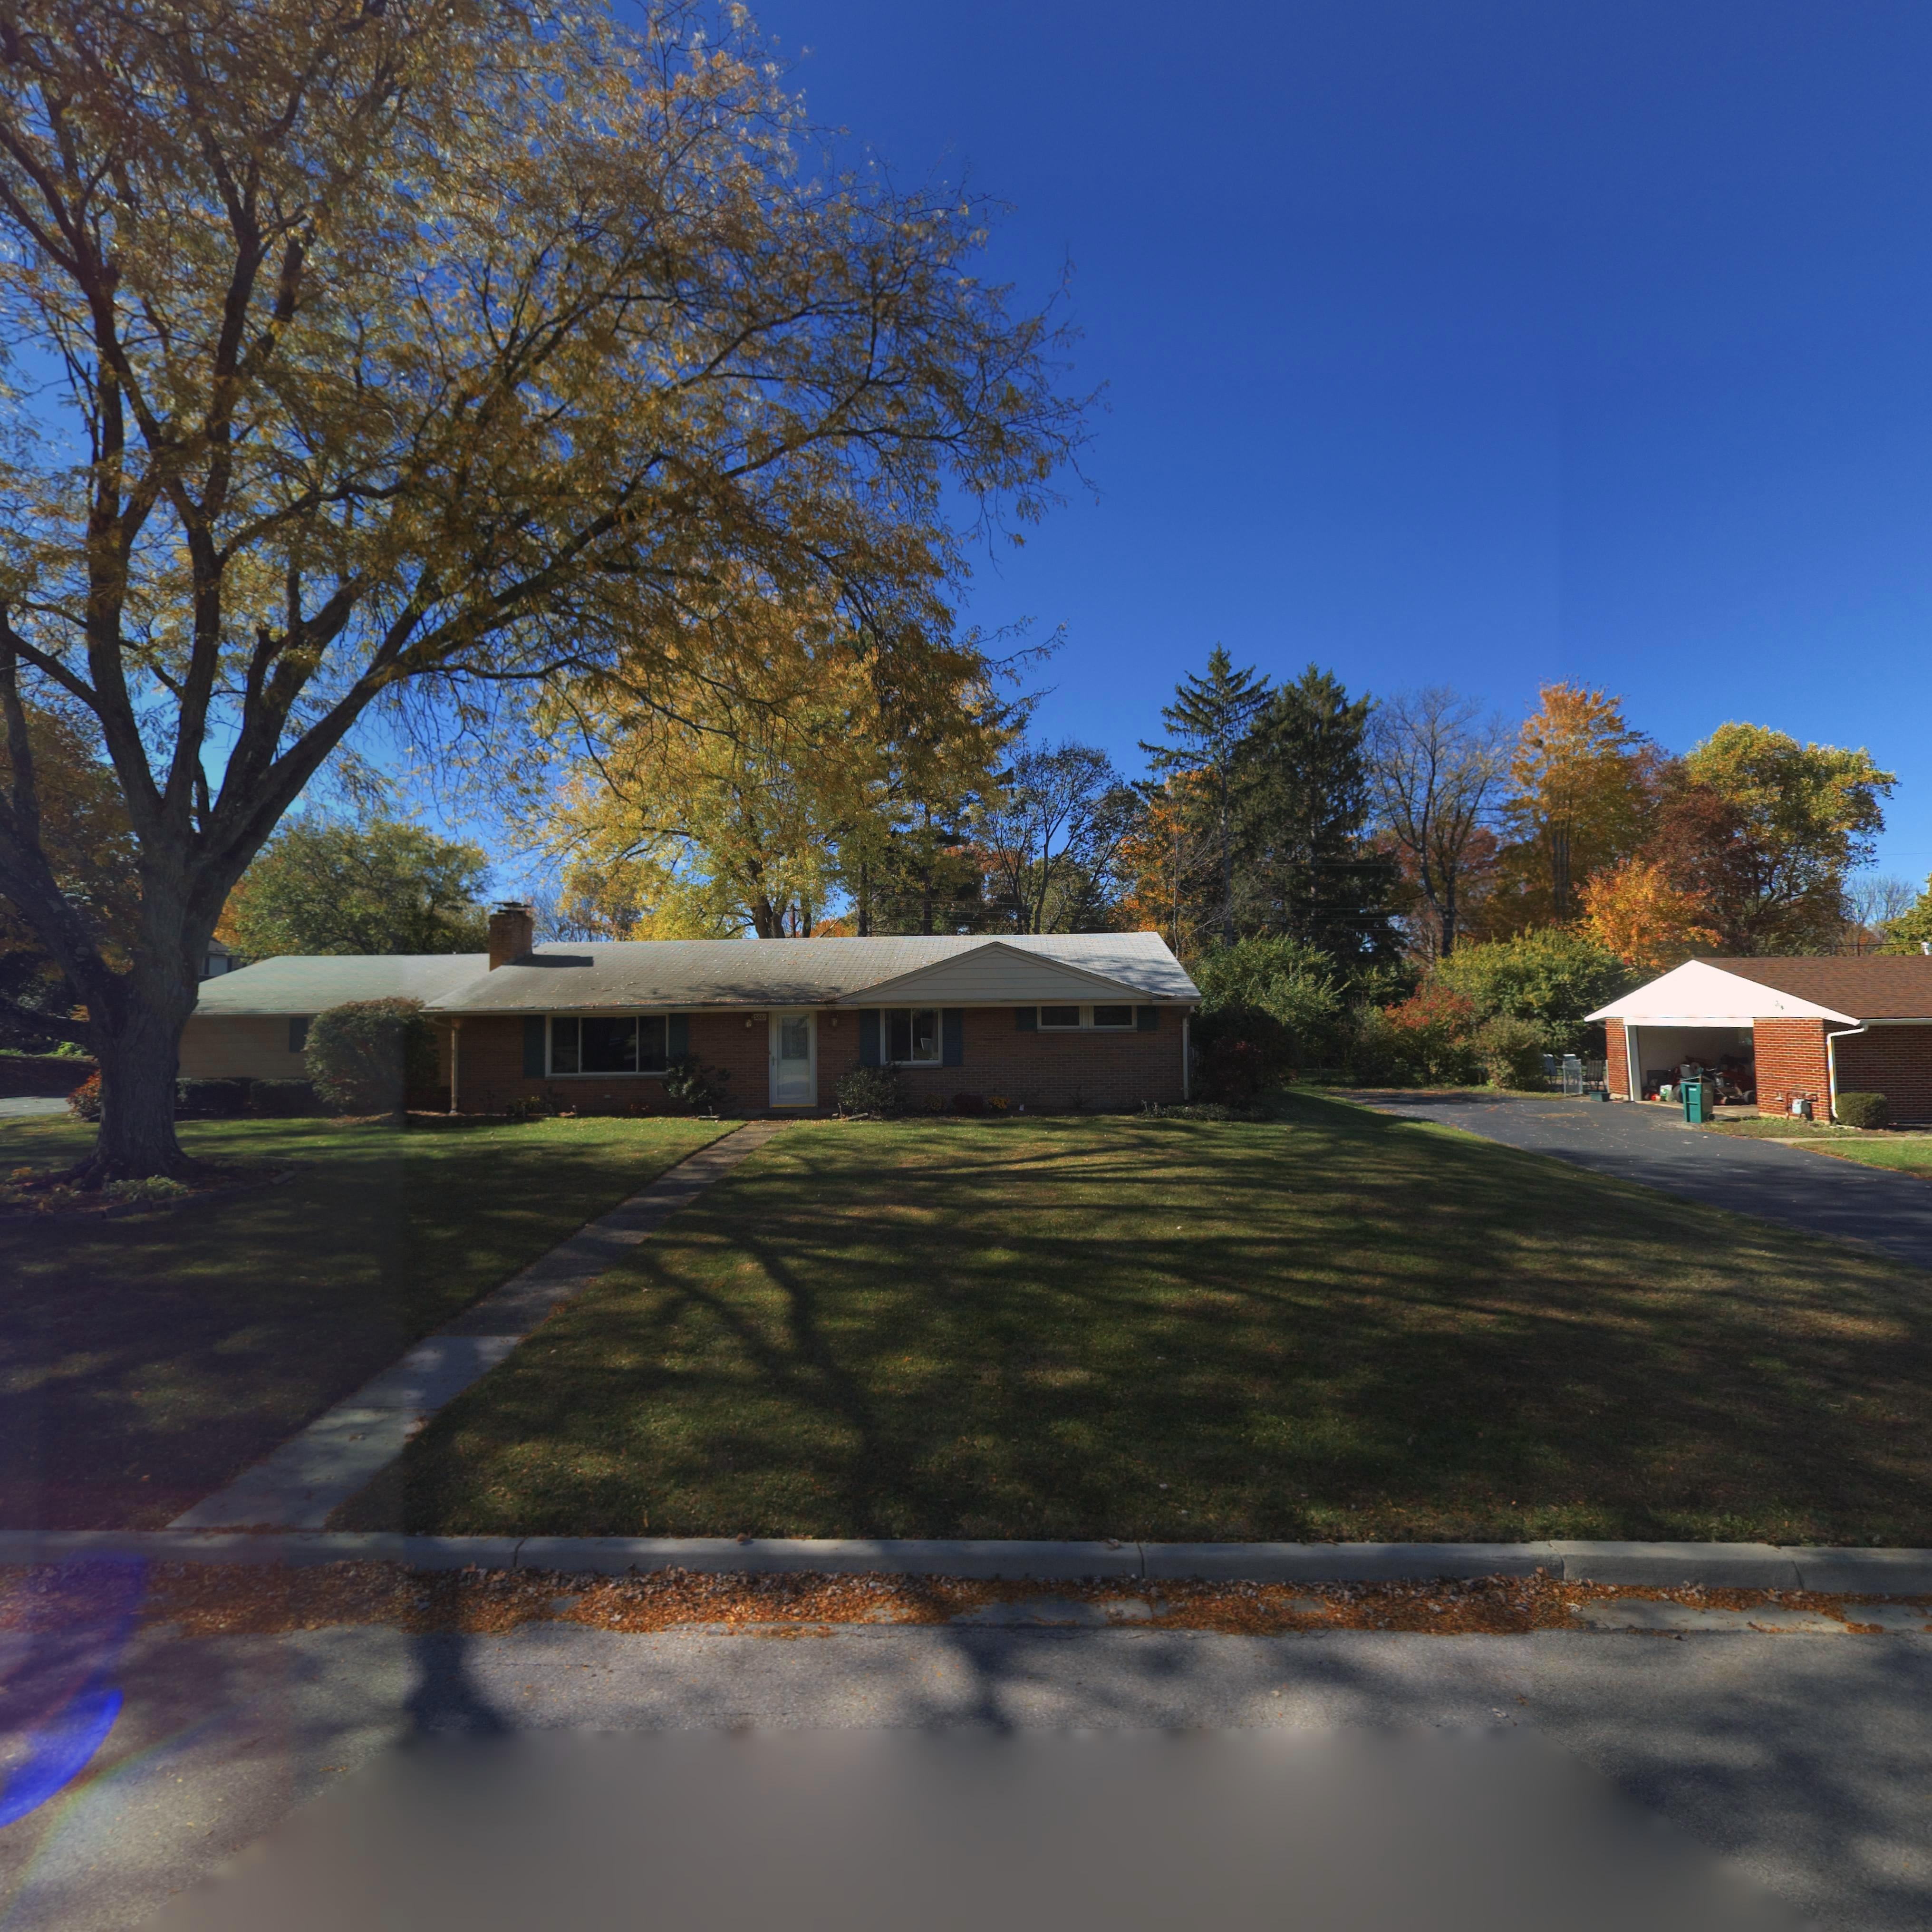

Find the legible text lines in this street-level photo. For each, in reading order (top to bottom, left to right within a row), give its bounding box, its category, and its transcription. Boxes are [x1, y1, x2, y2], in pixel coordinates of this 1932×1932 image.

[753, 1014, 766, 1020] StreetNumber: 5881